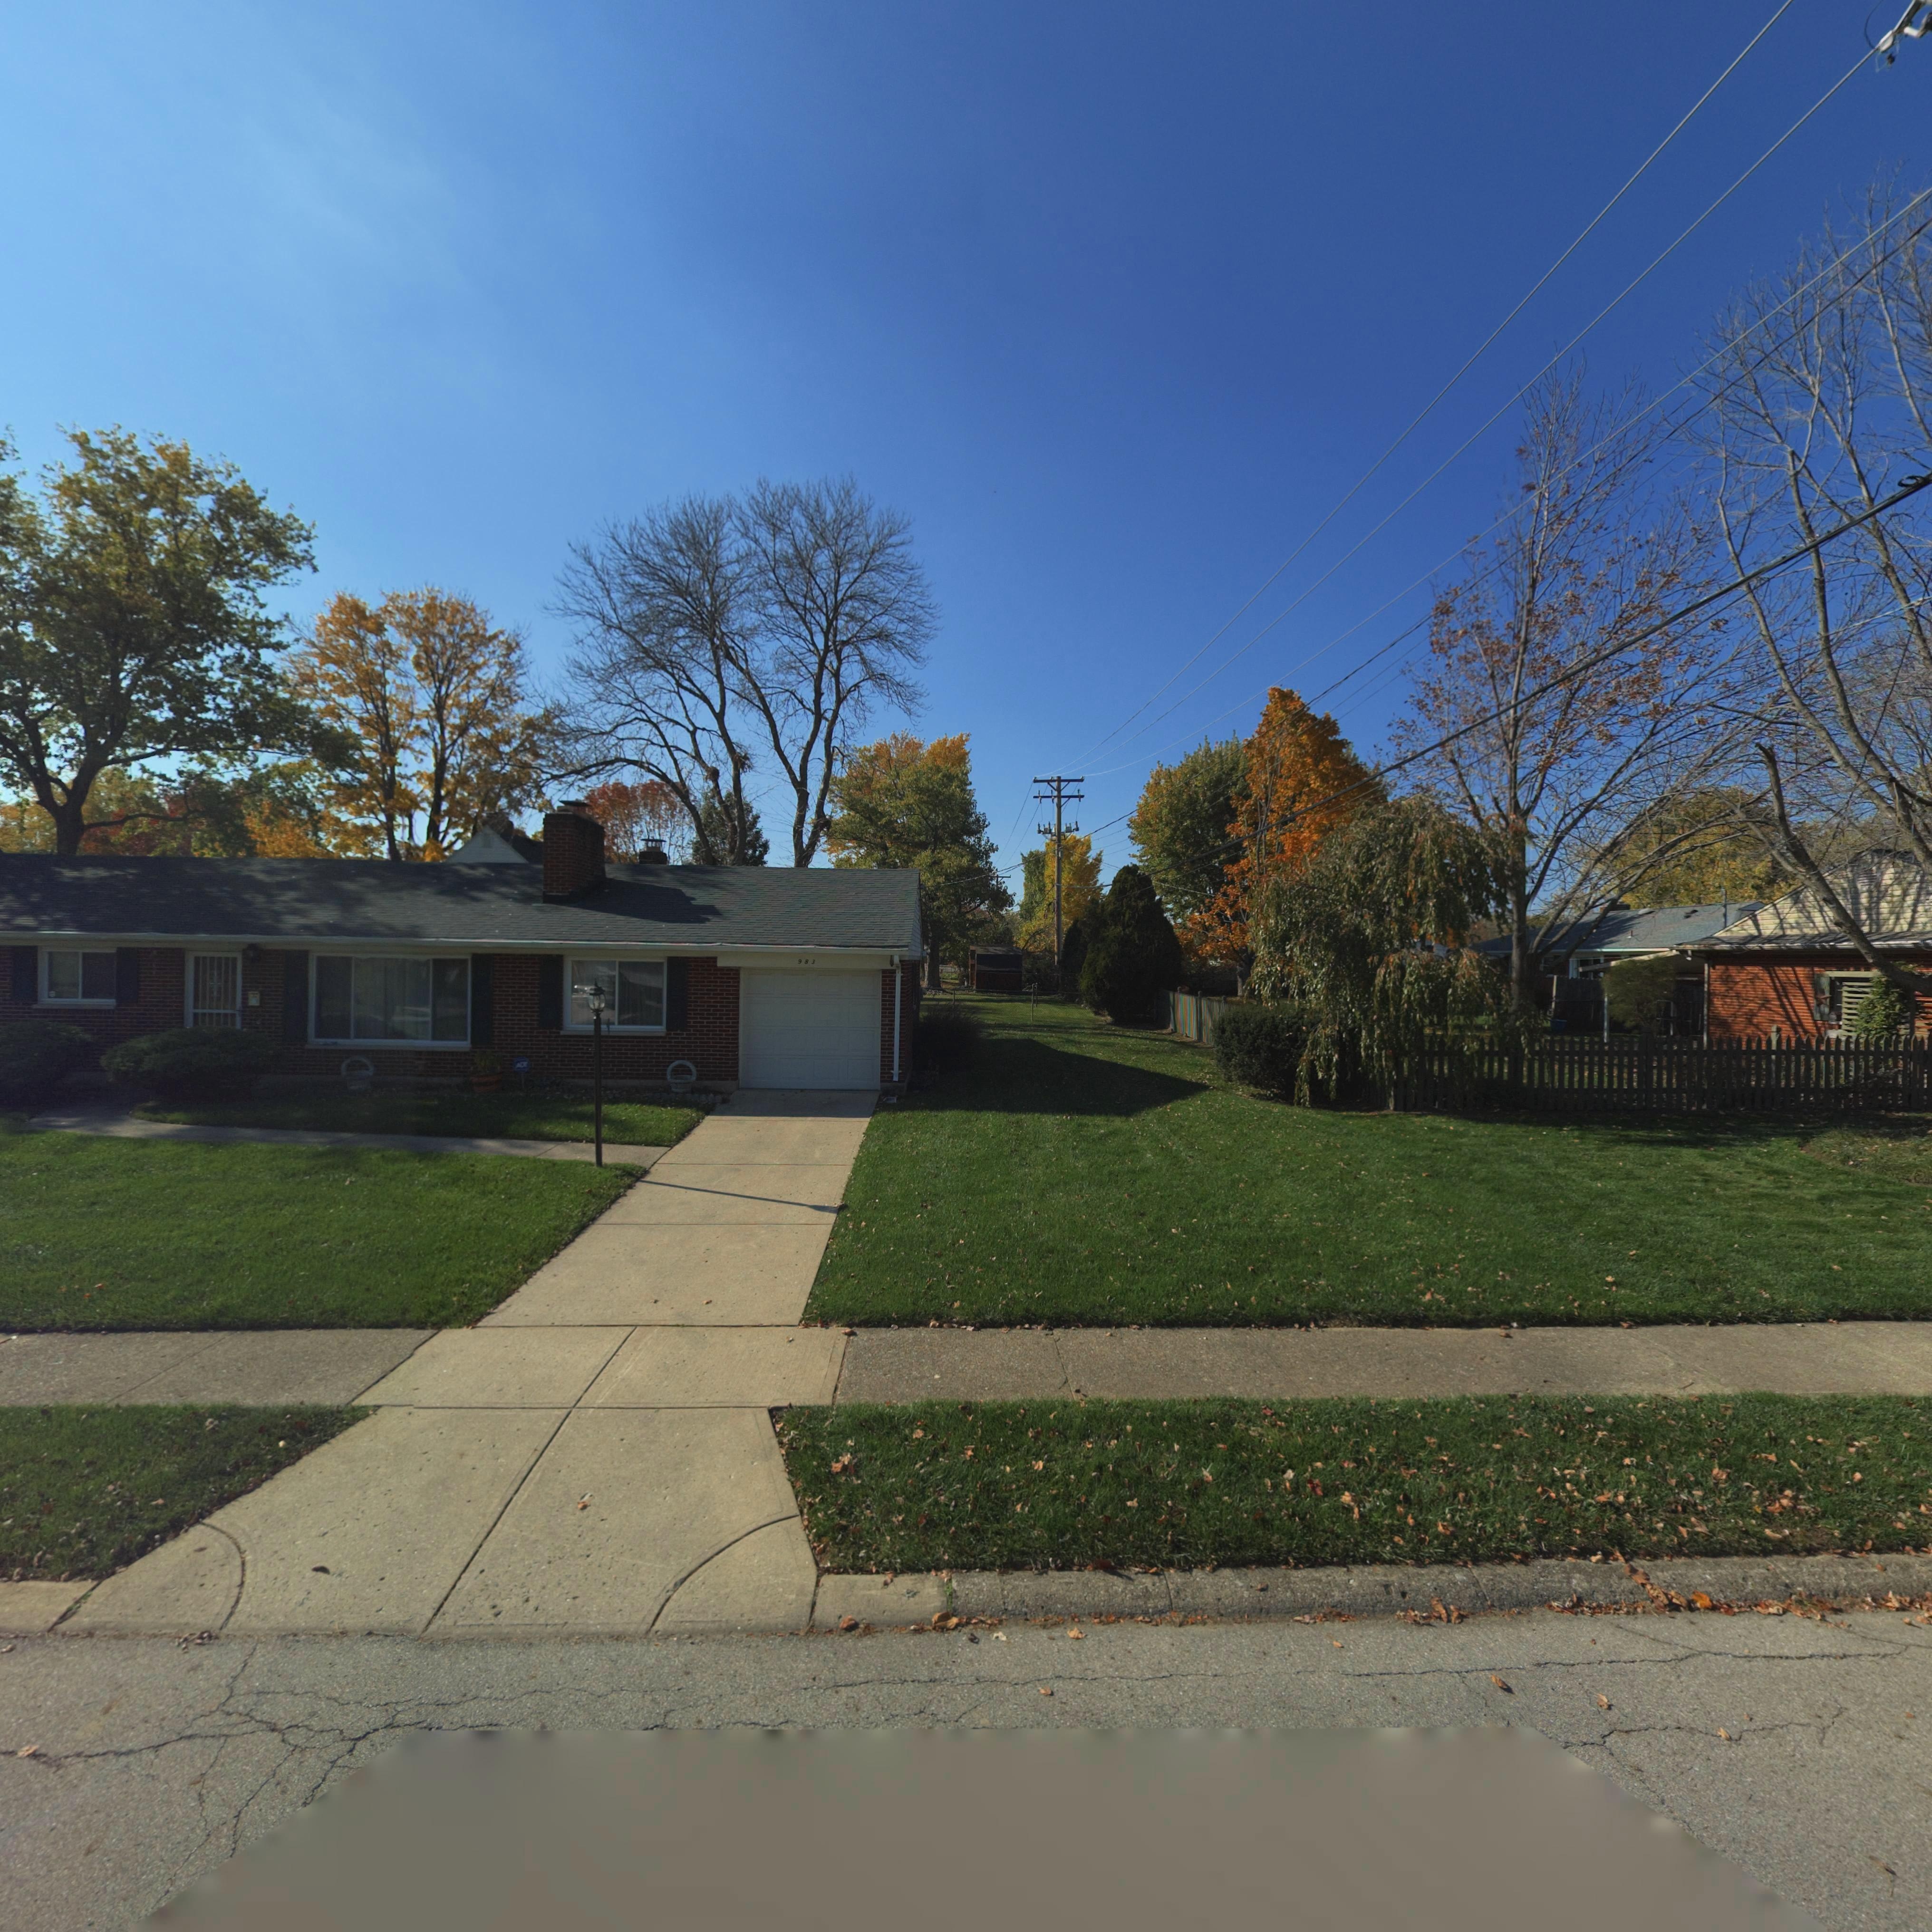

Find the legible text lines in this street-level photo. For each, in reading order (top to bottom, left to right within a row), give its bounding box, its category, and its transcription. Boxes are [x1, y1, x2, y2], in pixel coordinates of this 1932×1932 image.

[797, 958, 816, 965] StreetNumber: 983